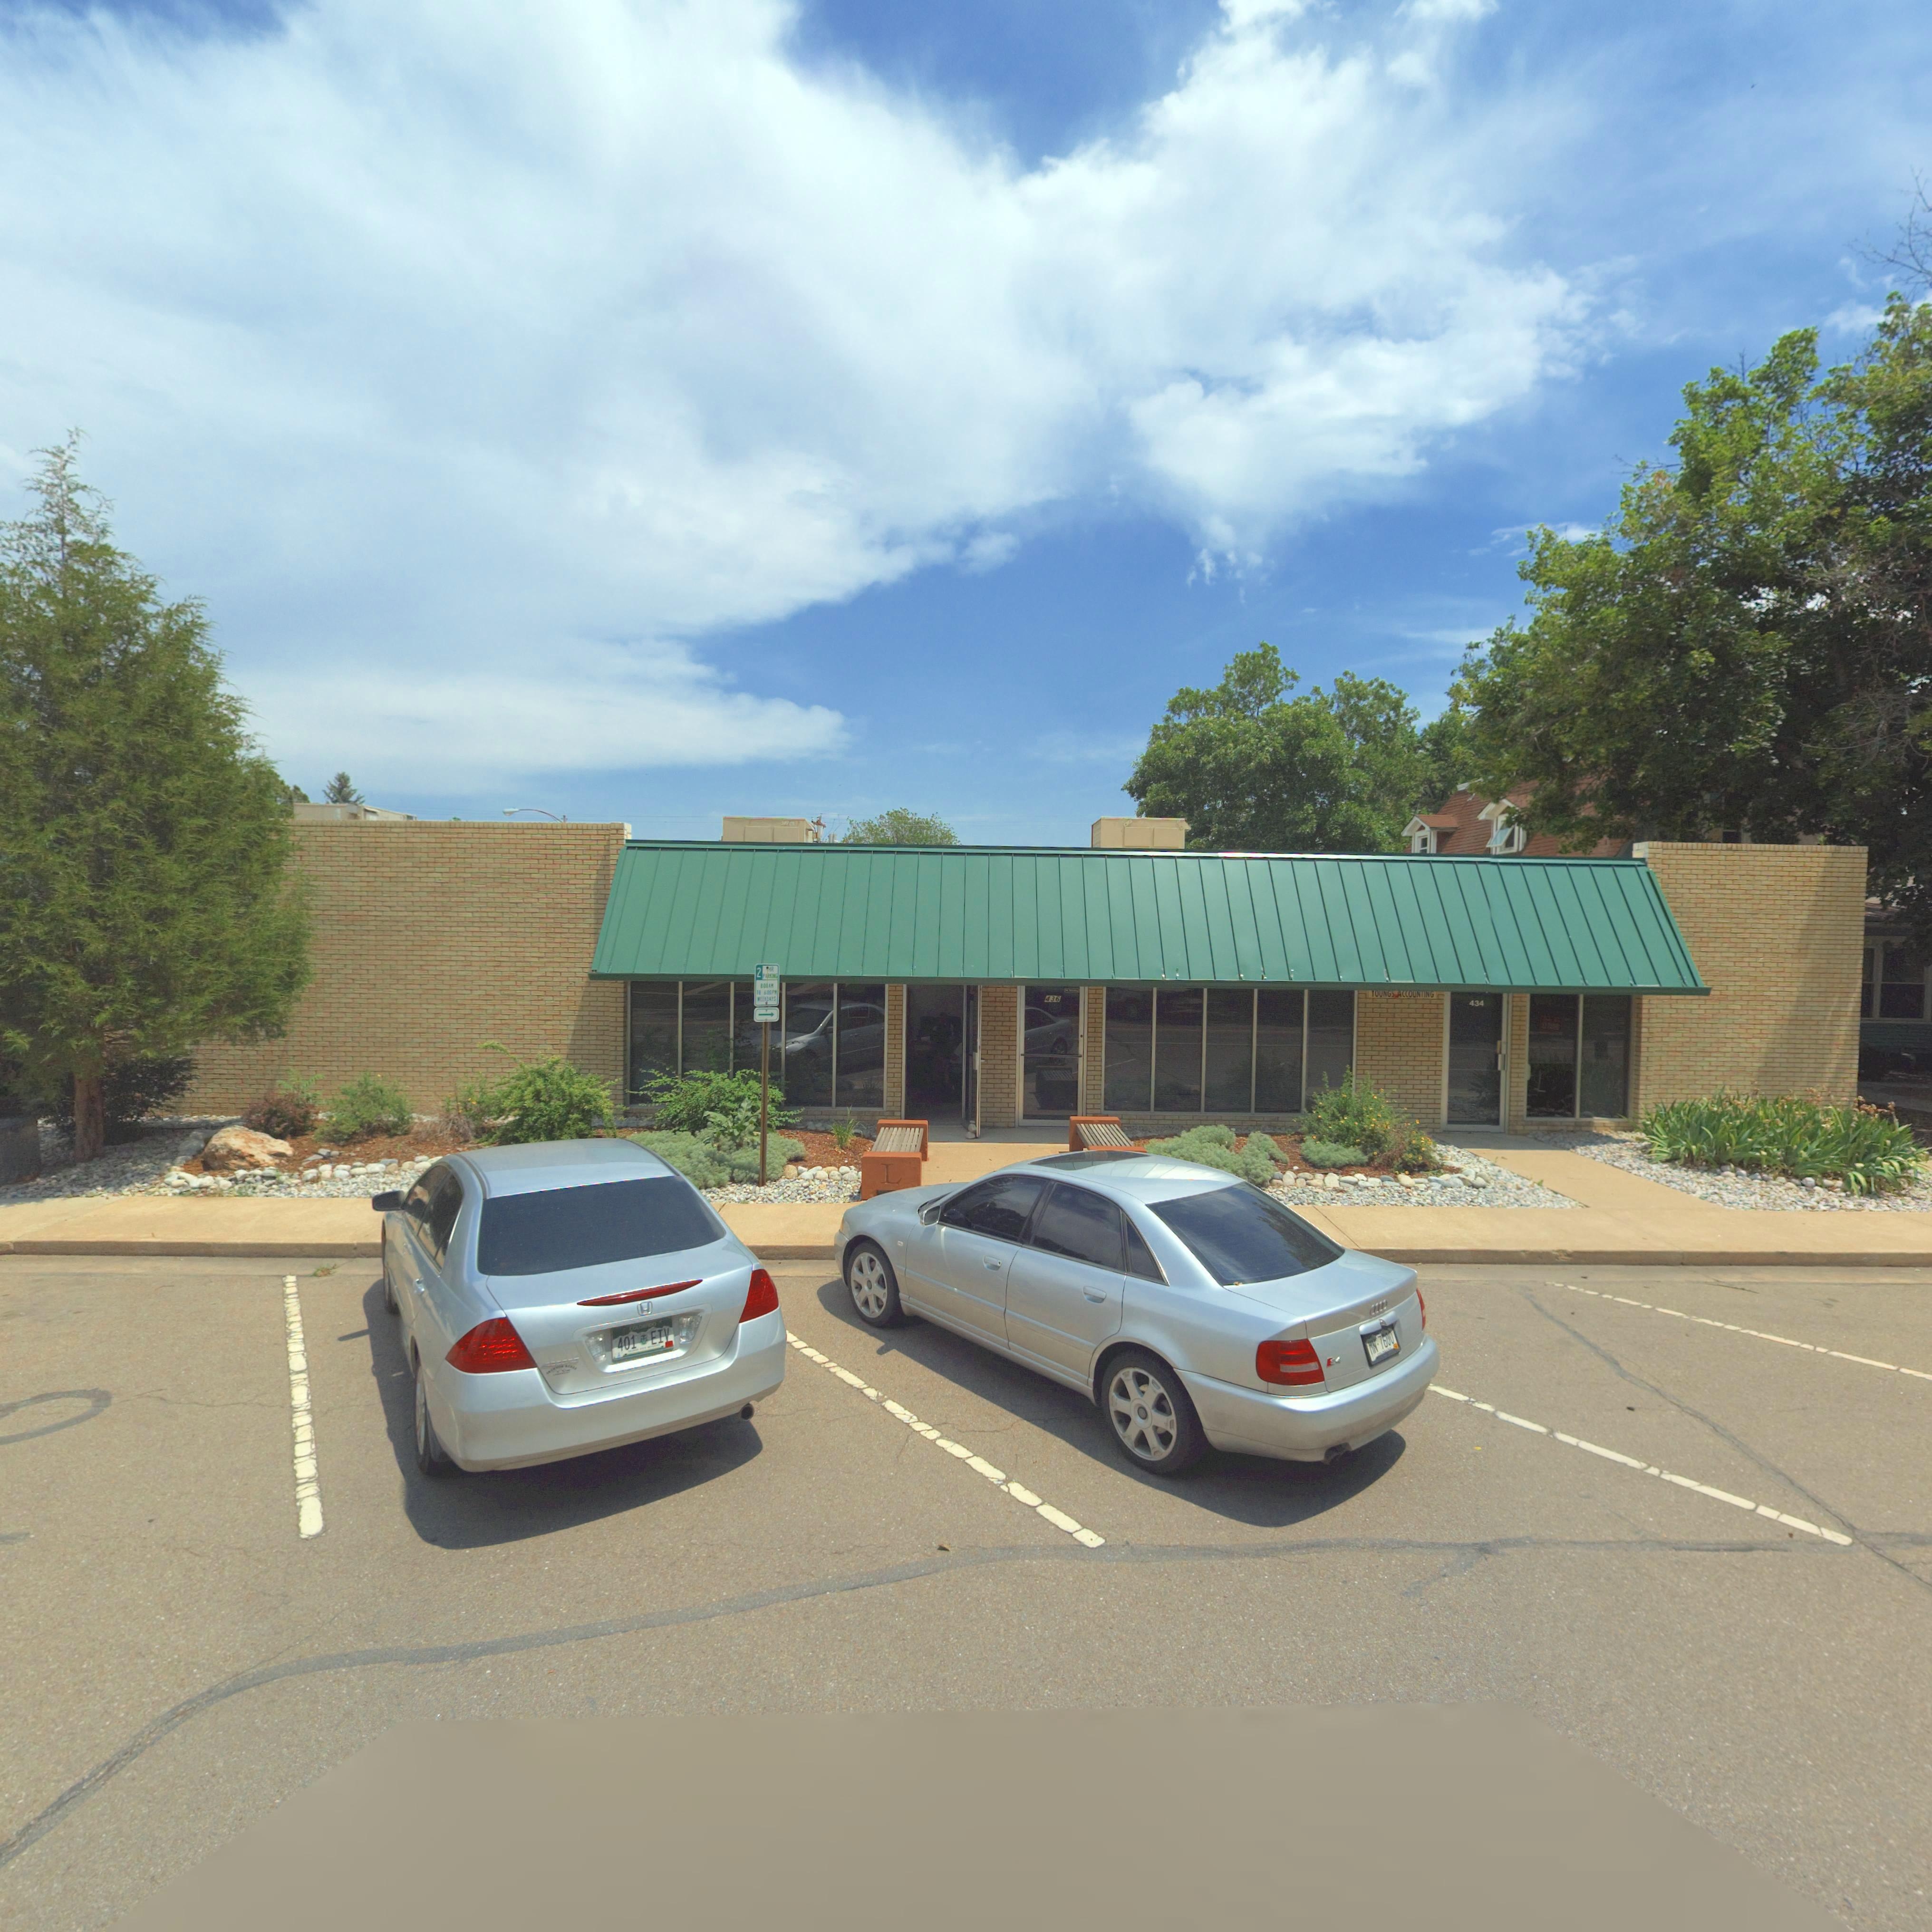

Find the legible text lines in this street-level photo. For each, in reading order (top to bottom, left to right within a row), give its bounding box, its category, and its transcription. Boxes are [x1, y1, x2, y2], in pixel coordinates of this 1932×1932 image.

[1371, 989, 1434, 998] BusinessName: *OUNGS ACCOUN*ING
[1045, 995, 1060, 1002] StreetNumber: 436
[1469, 999, 1484, 1006] StreetNumber: 434